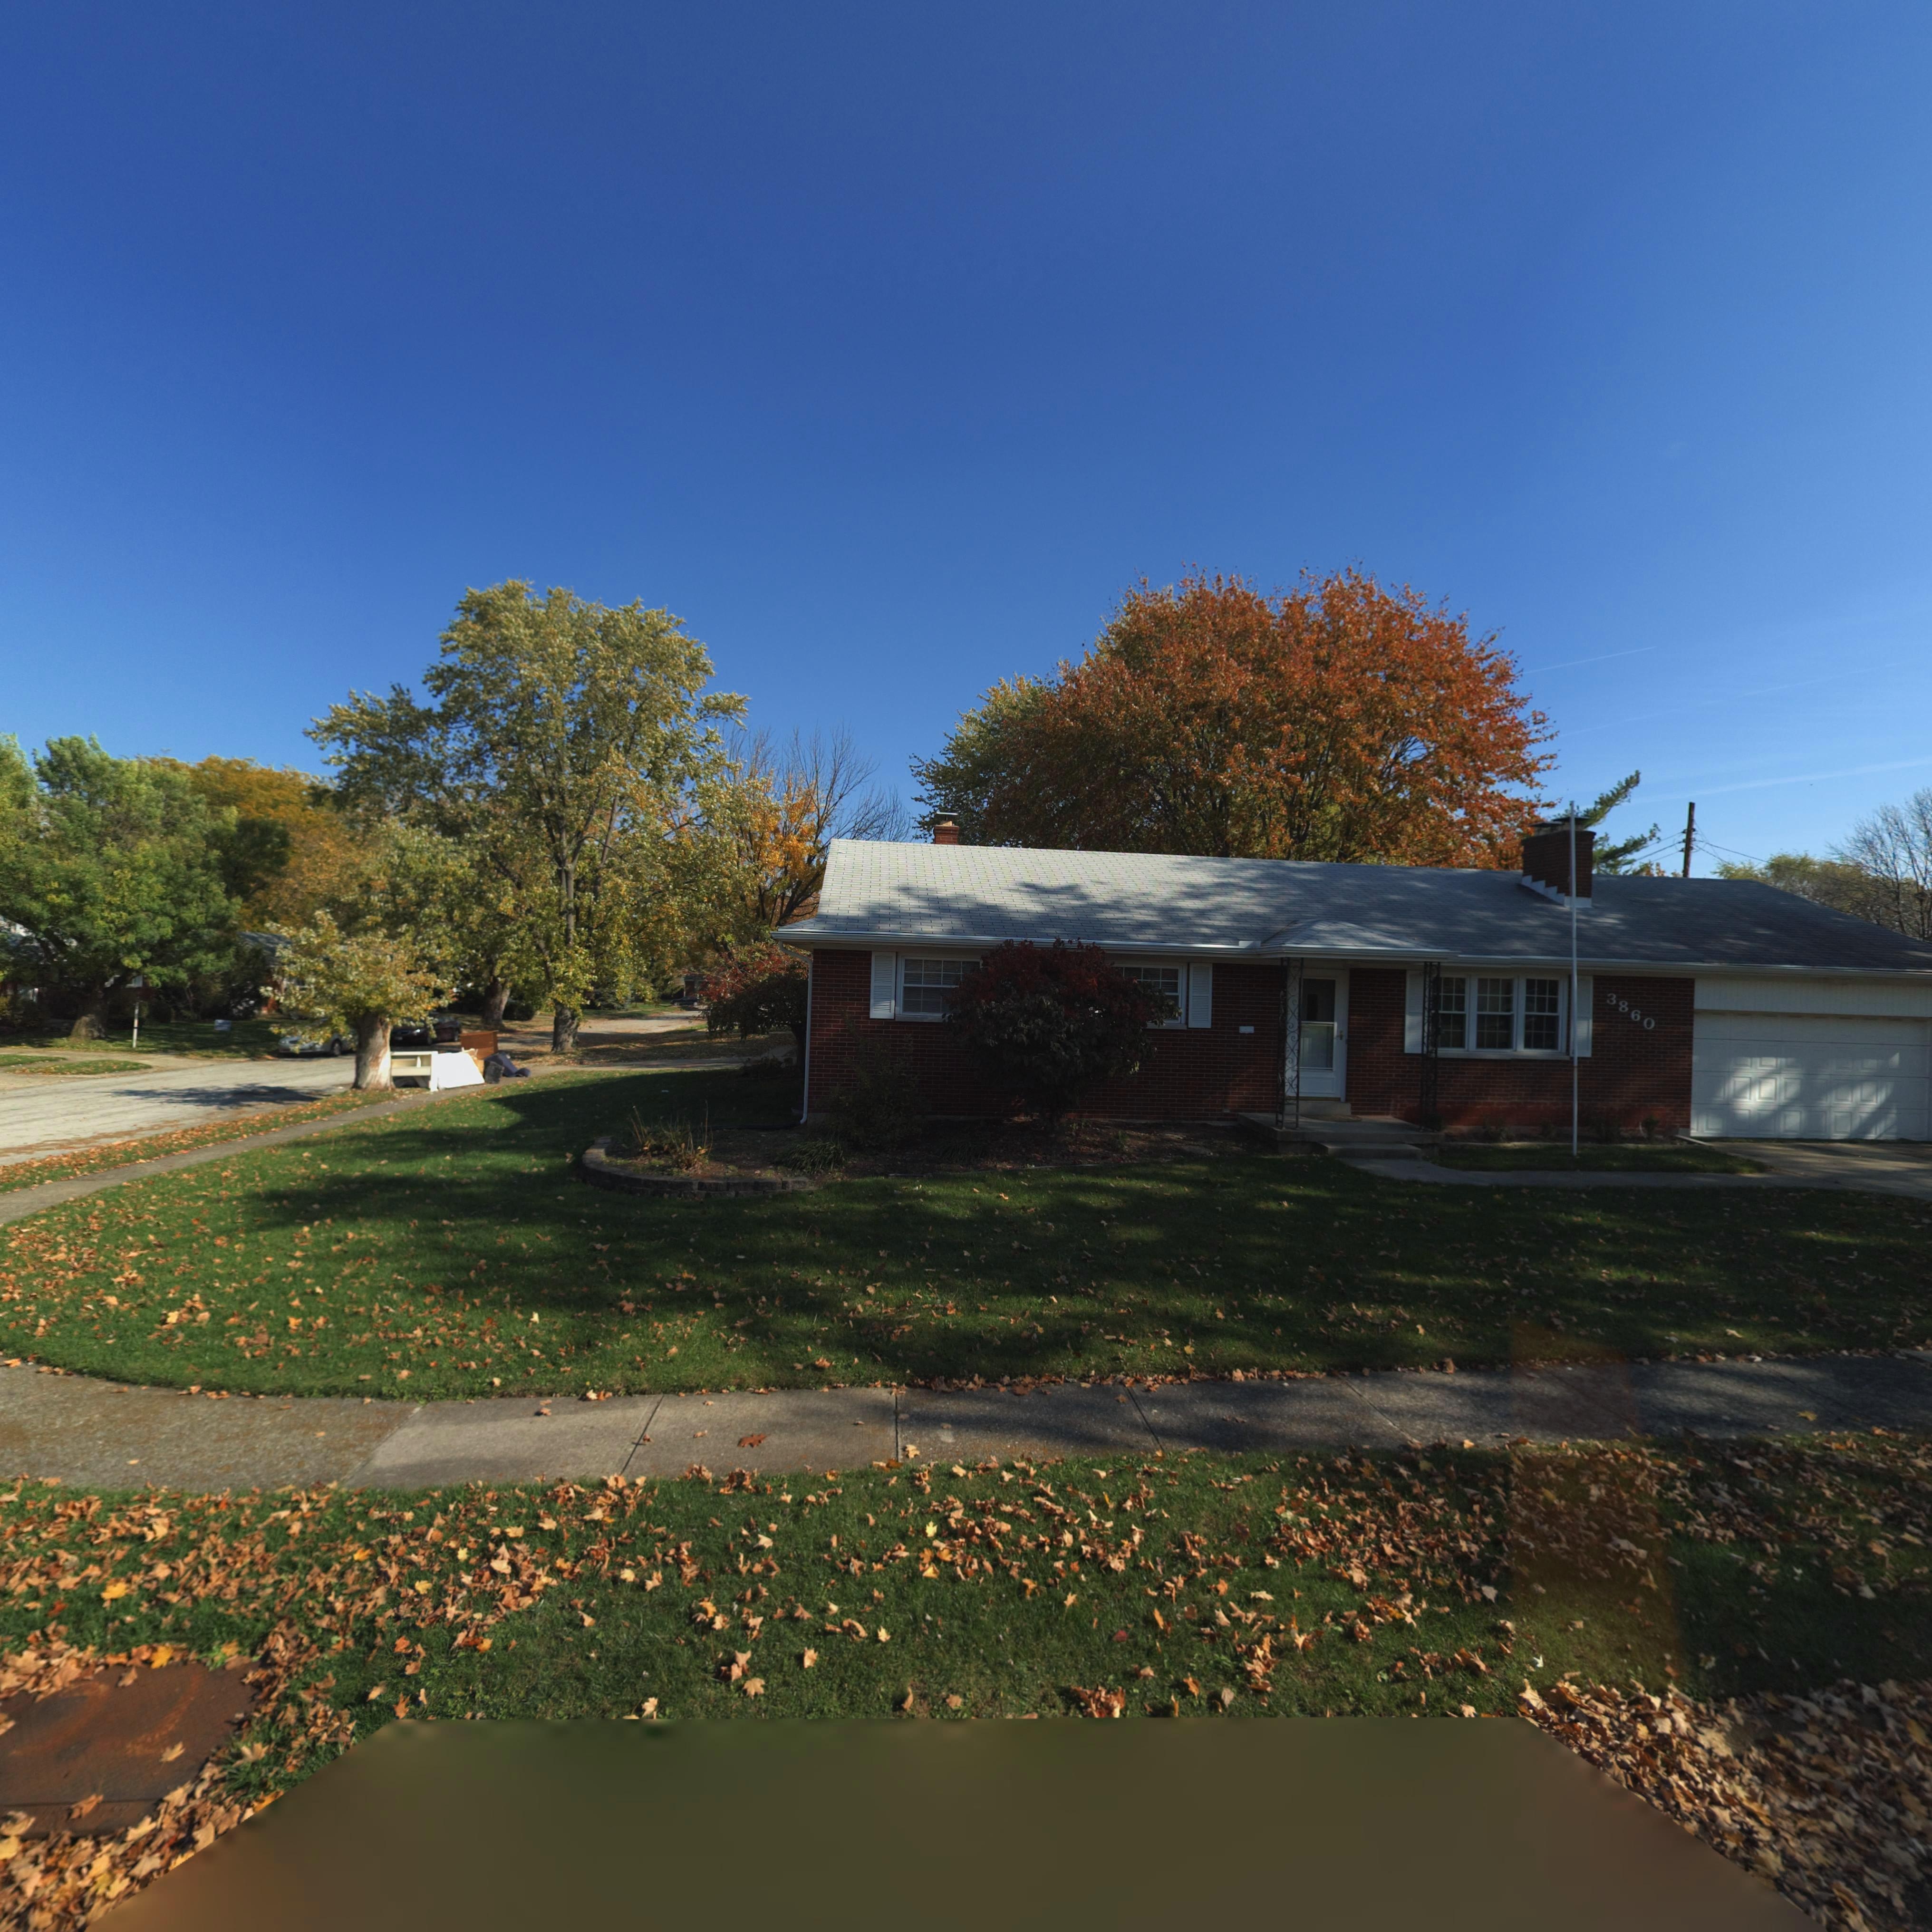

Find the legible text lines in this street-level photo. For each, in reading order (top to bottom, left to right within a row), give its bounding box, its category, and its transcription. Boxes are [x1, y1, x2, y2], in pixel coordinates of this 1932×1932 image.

[1605, 992, 1656, 1032] StreetNumber: 3860